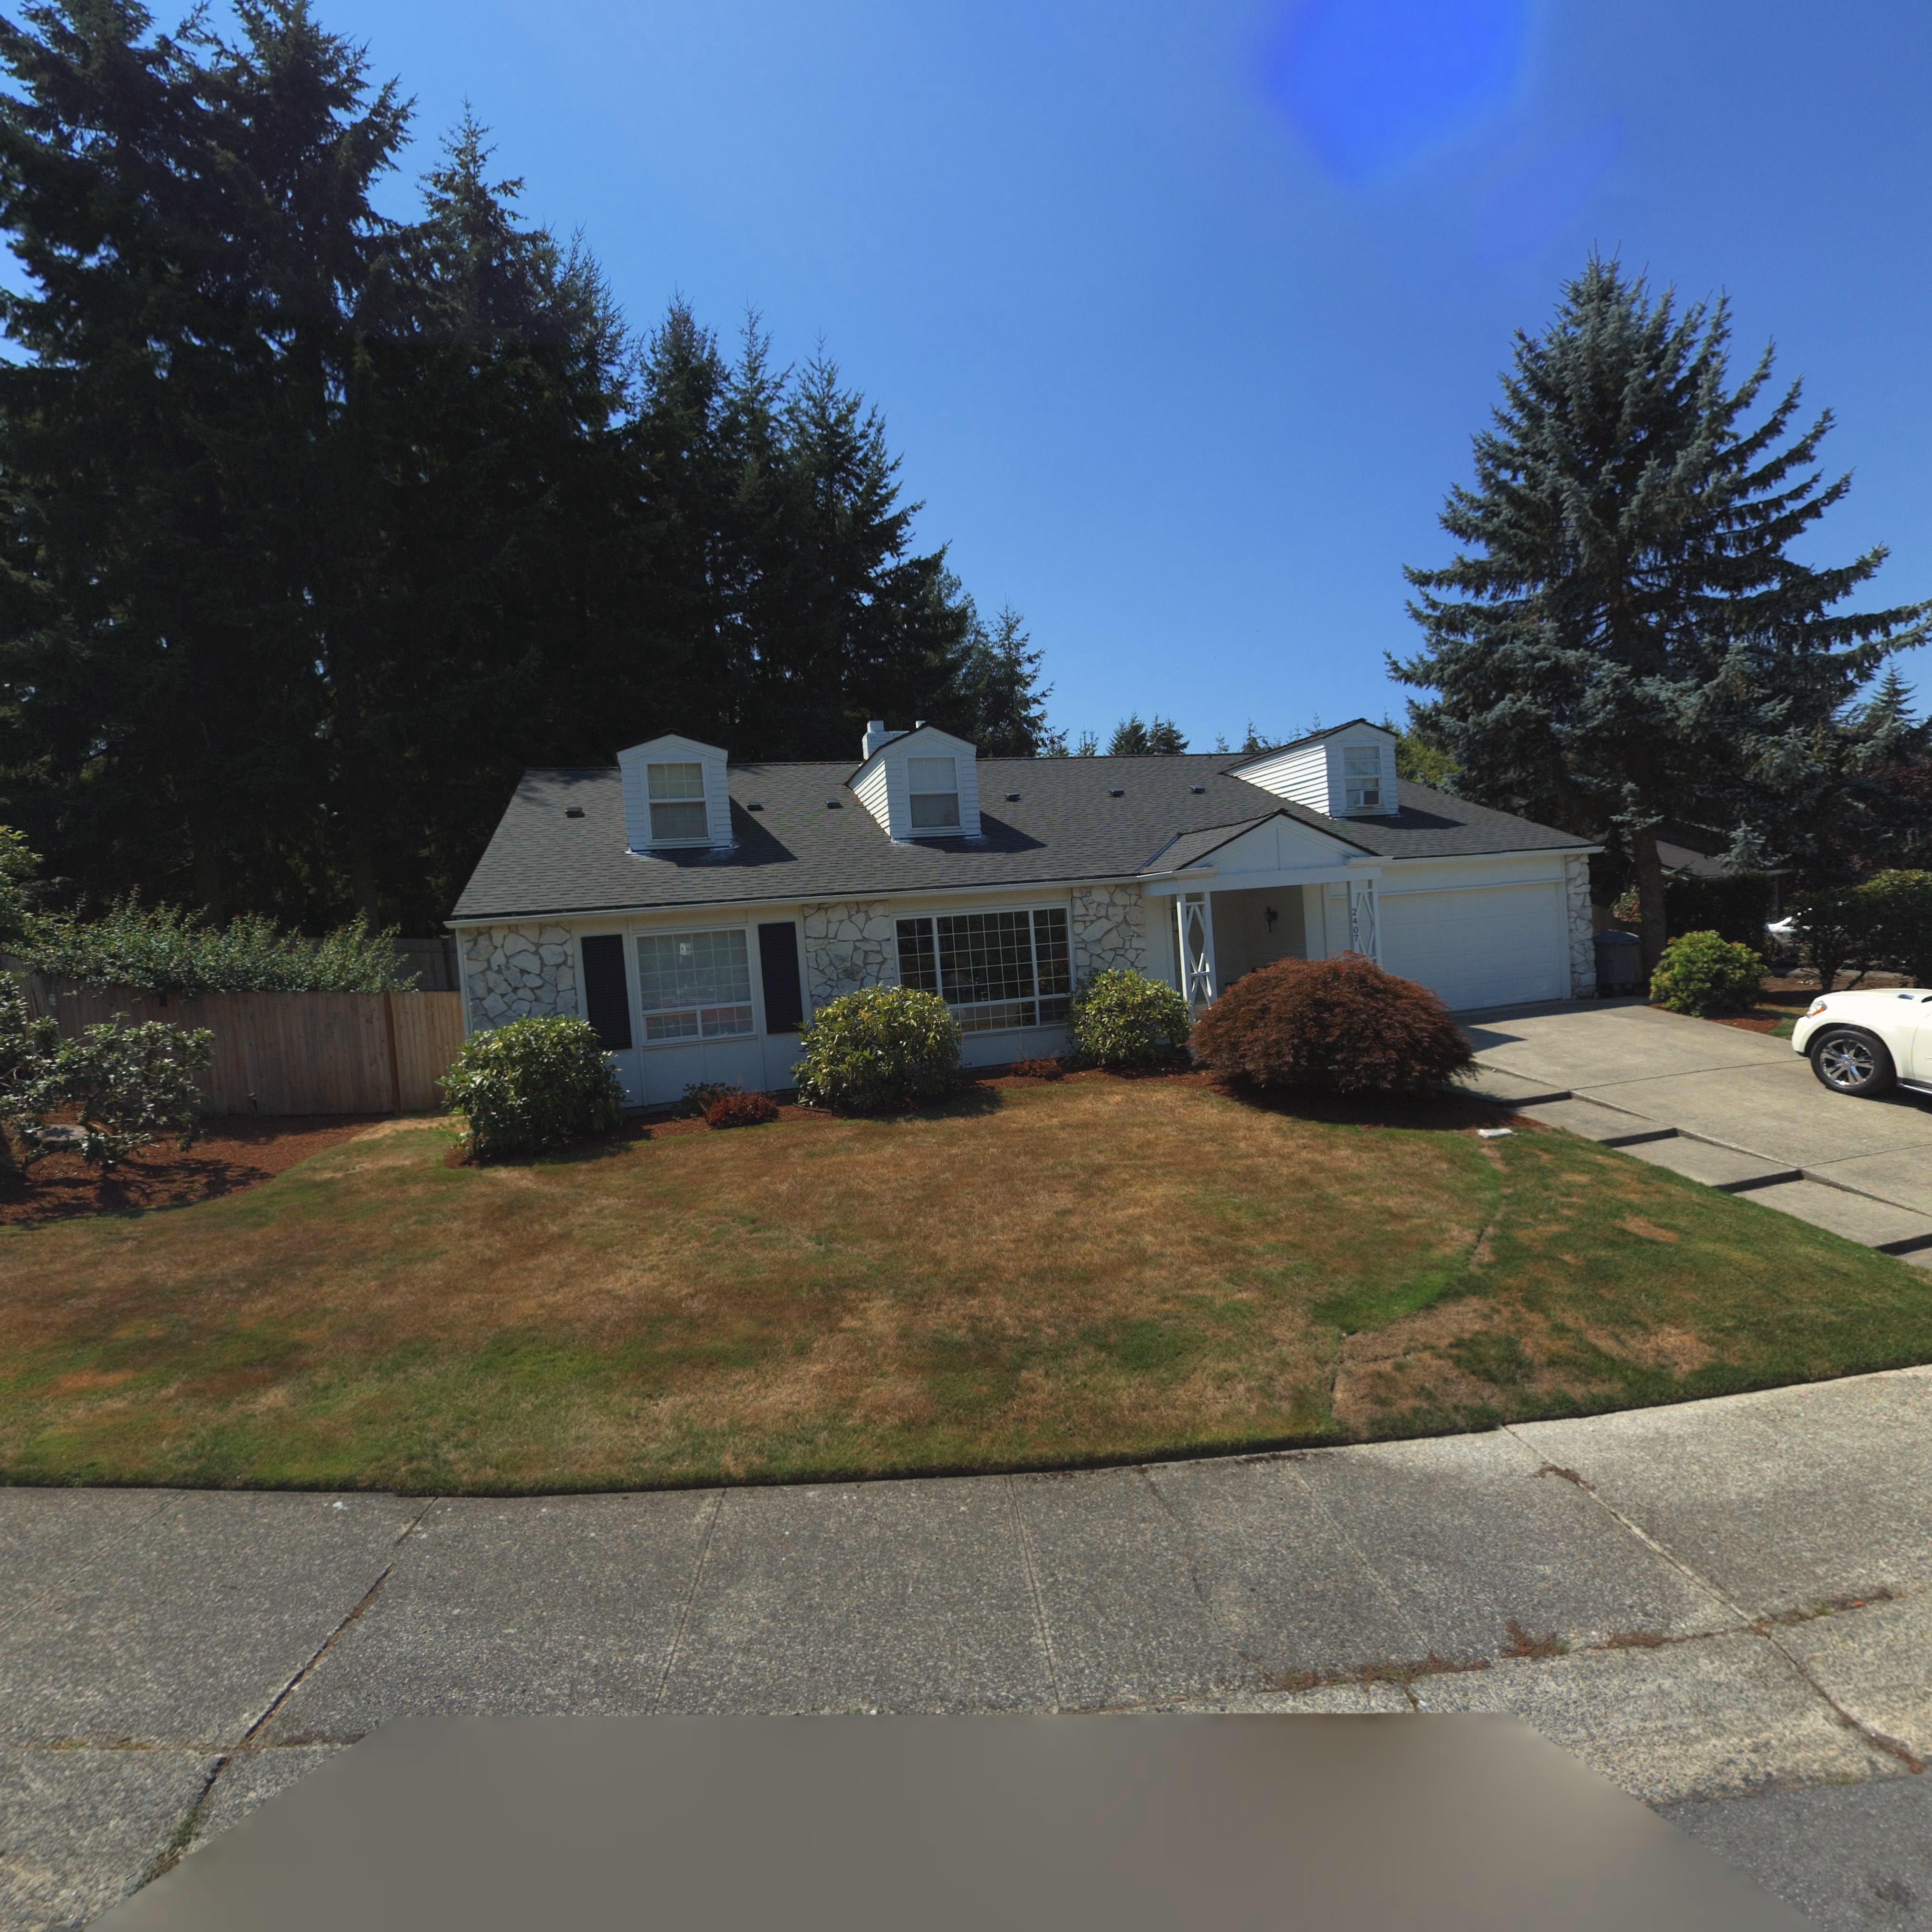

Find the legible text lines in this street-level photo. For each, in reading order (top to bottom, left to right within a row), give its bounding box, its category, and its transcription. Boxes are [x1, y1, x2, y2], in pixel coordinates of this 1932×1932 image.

[1352, 907, 1358, 943] StreetNumber: 2407